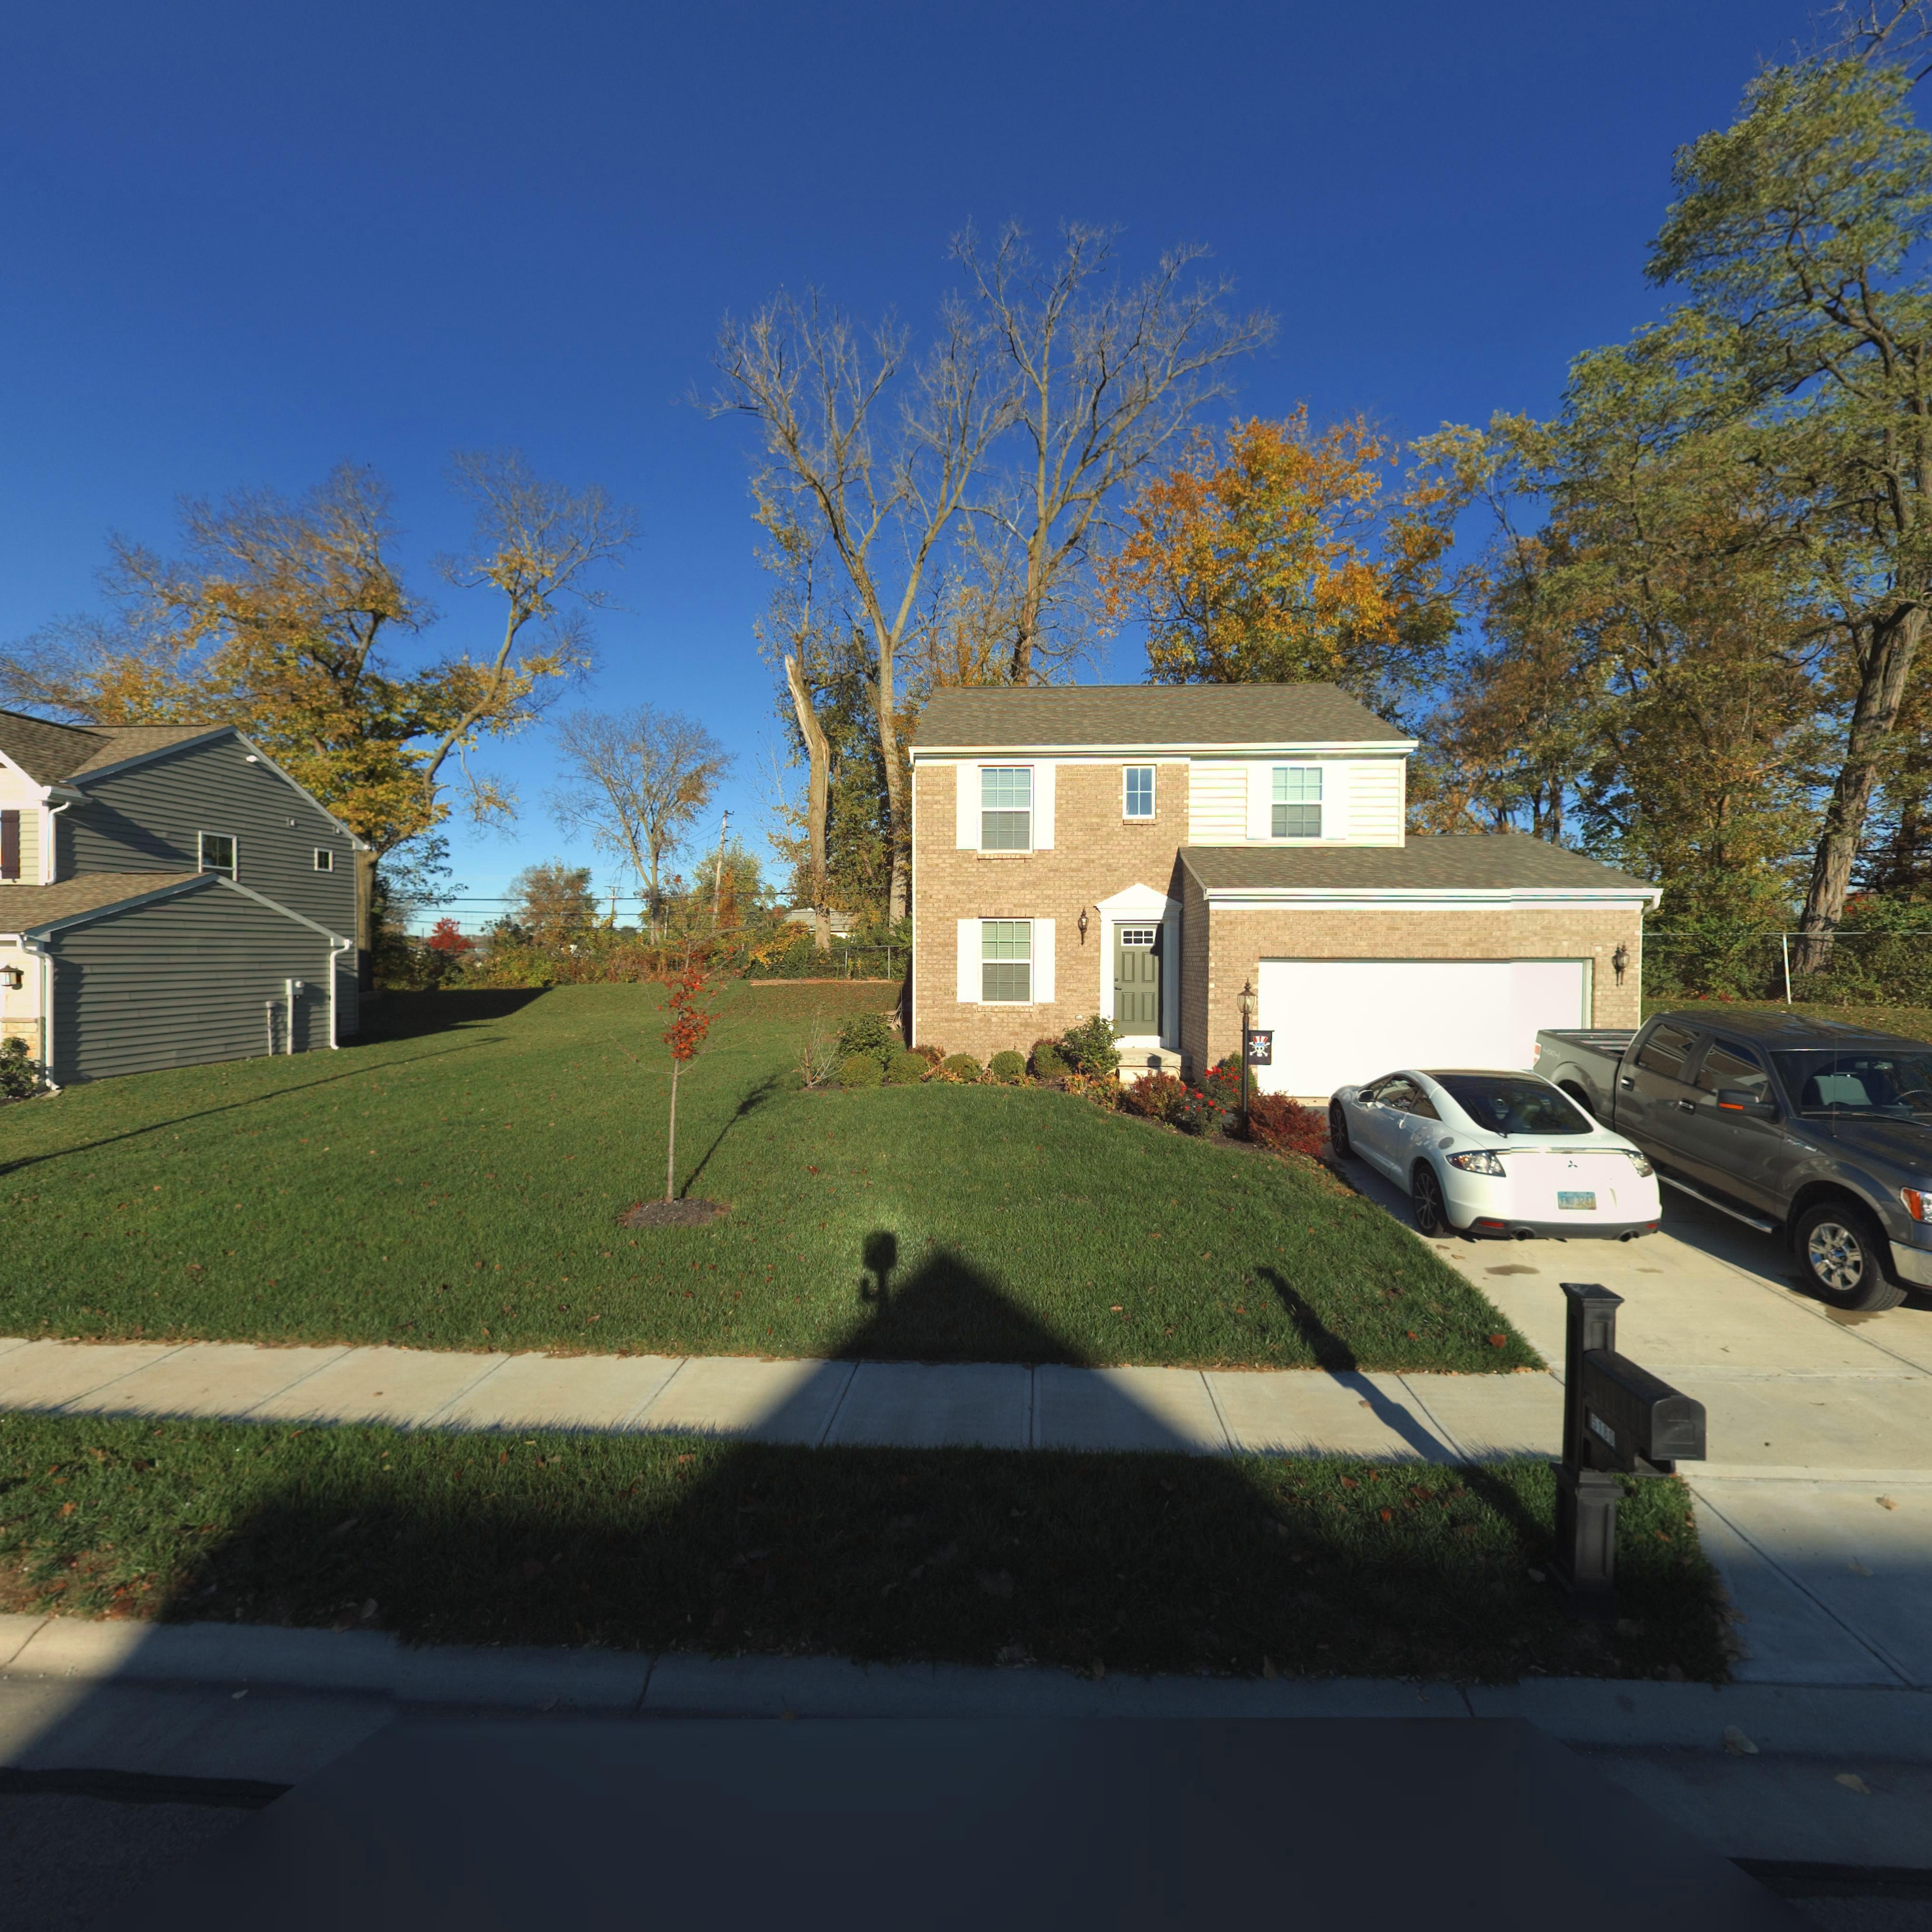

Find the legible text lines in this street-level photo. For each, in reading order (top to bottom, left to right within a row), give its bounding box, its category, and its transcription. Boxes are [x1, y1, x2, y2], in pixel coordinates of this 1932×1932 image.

[1591, 1412, 1615, 1445] StreetNumber: 5180